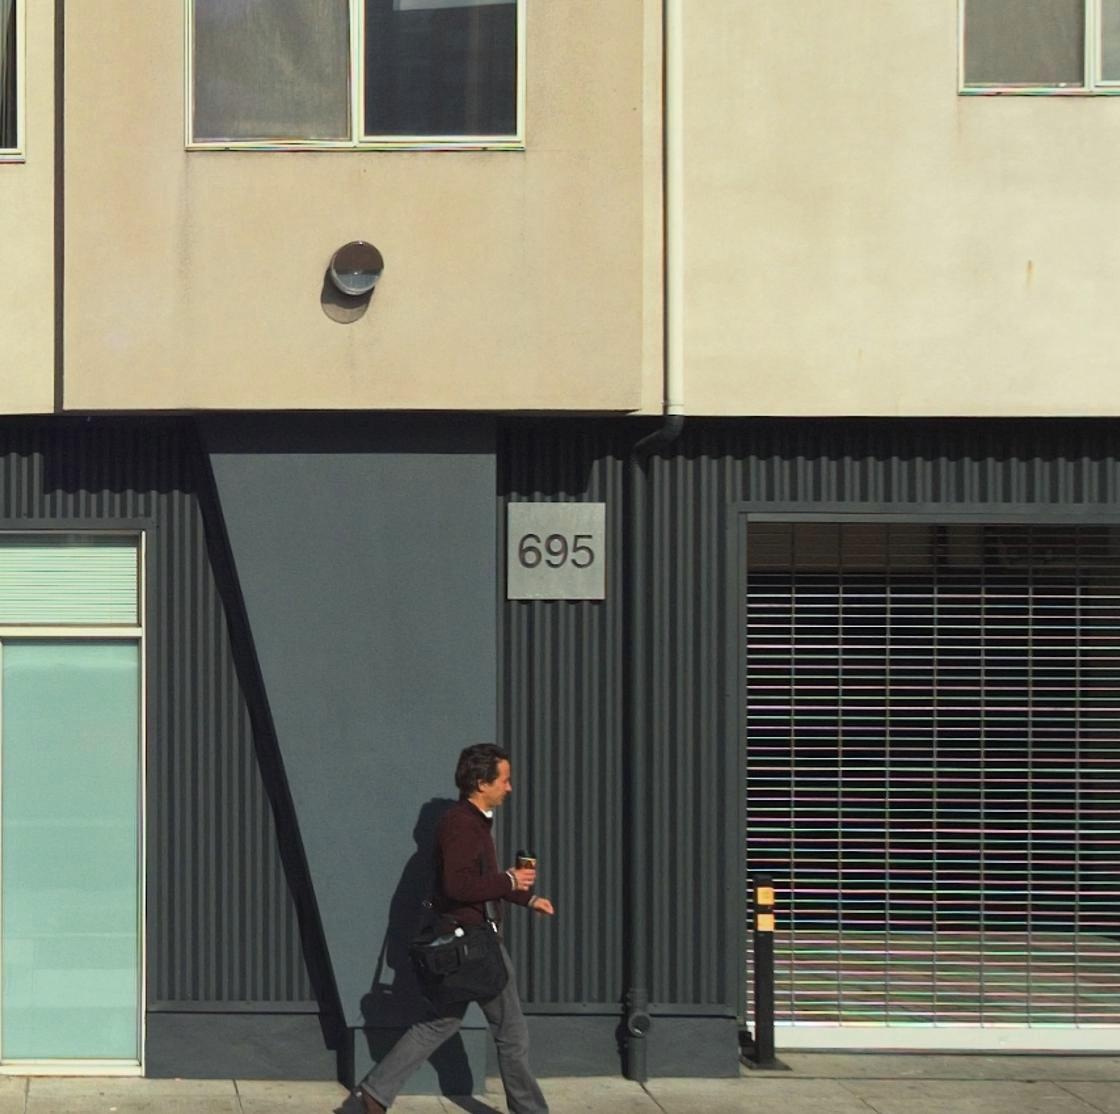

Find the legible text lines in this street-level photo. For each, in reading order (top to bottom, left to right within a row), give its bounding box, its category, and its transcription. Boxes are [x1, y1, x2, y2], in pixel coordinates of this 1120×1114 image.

[514, 532, 598, 572] StreetNumber: 695